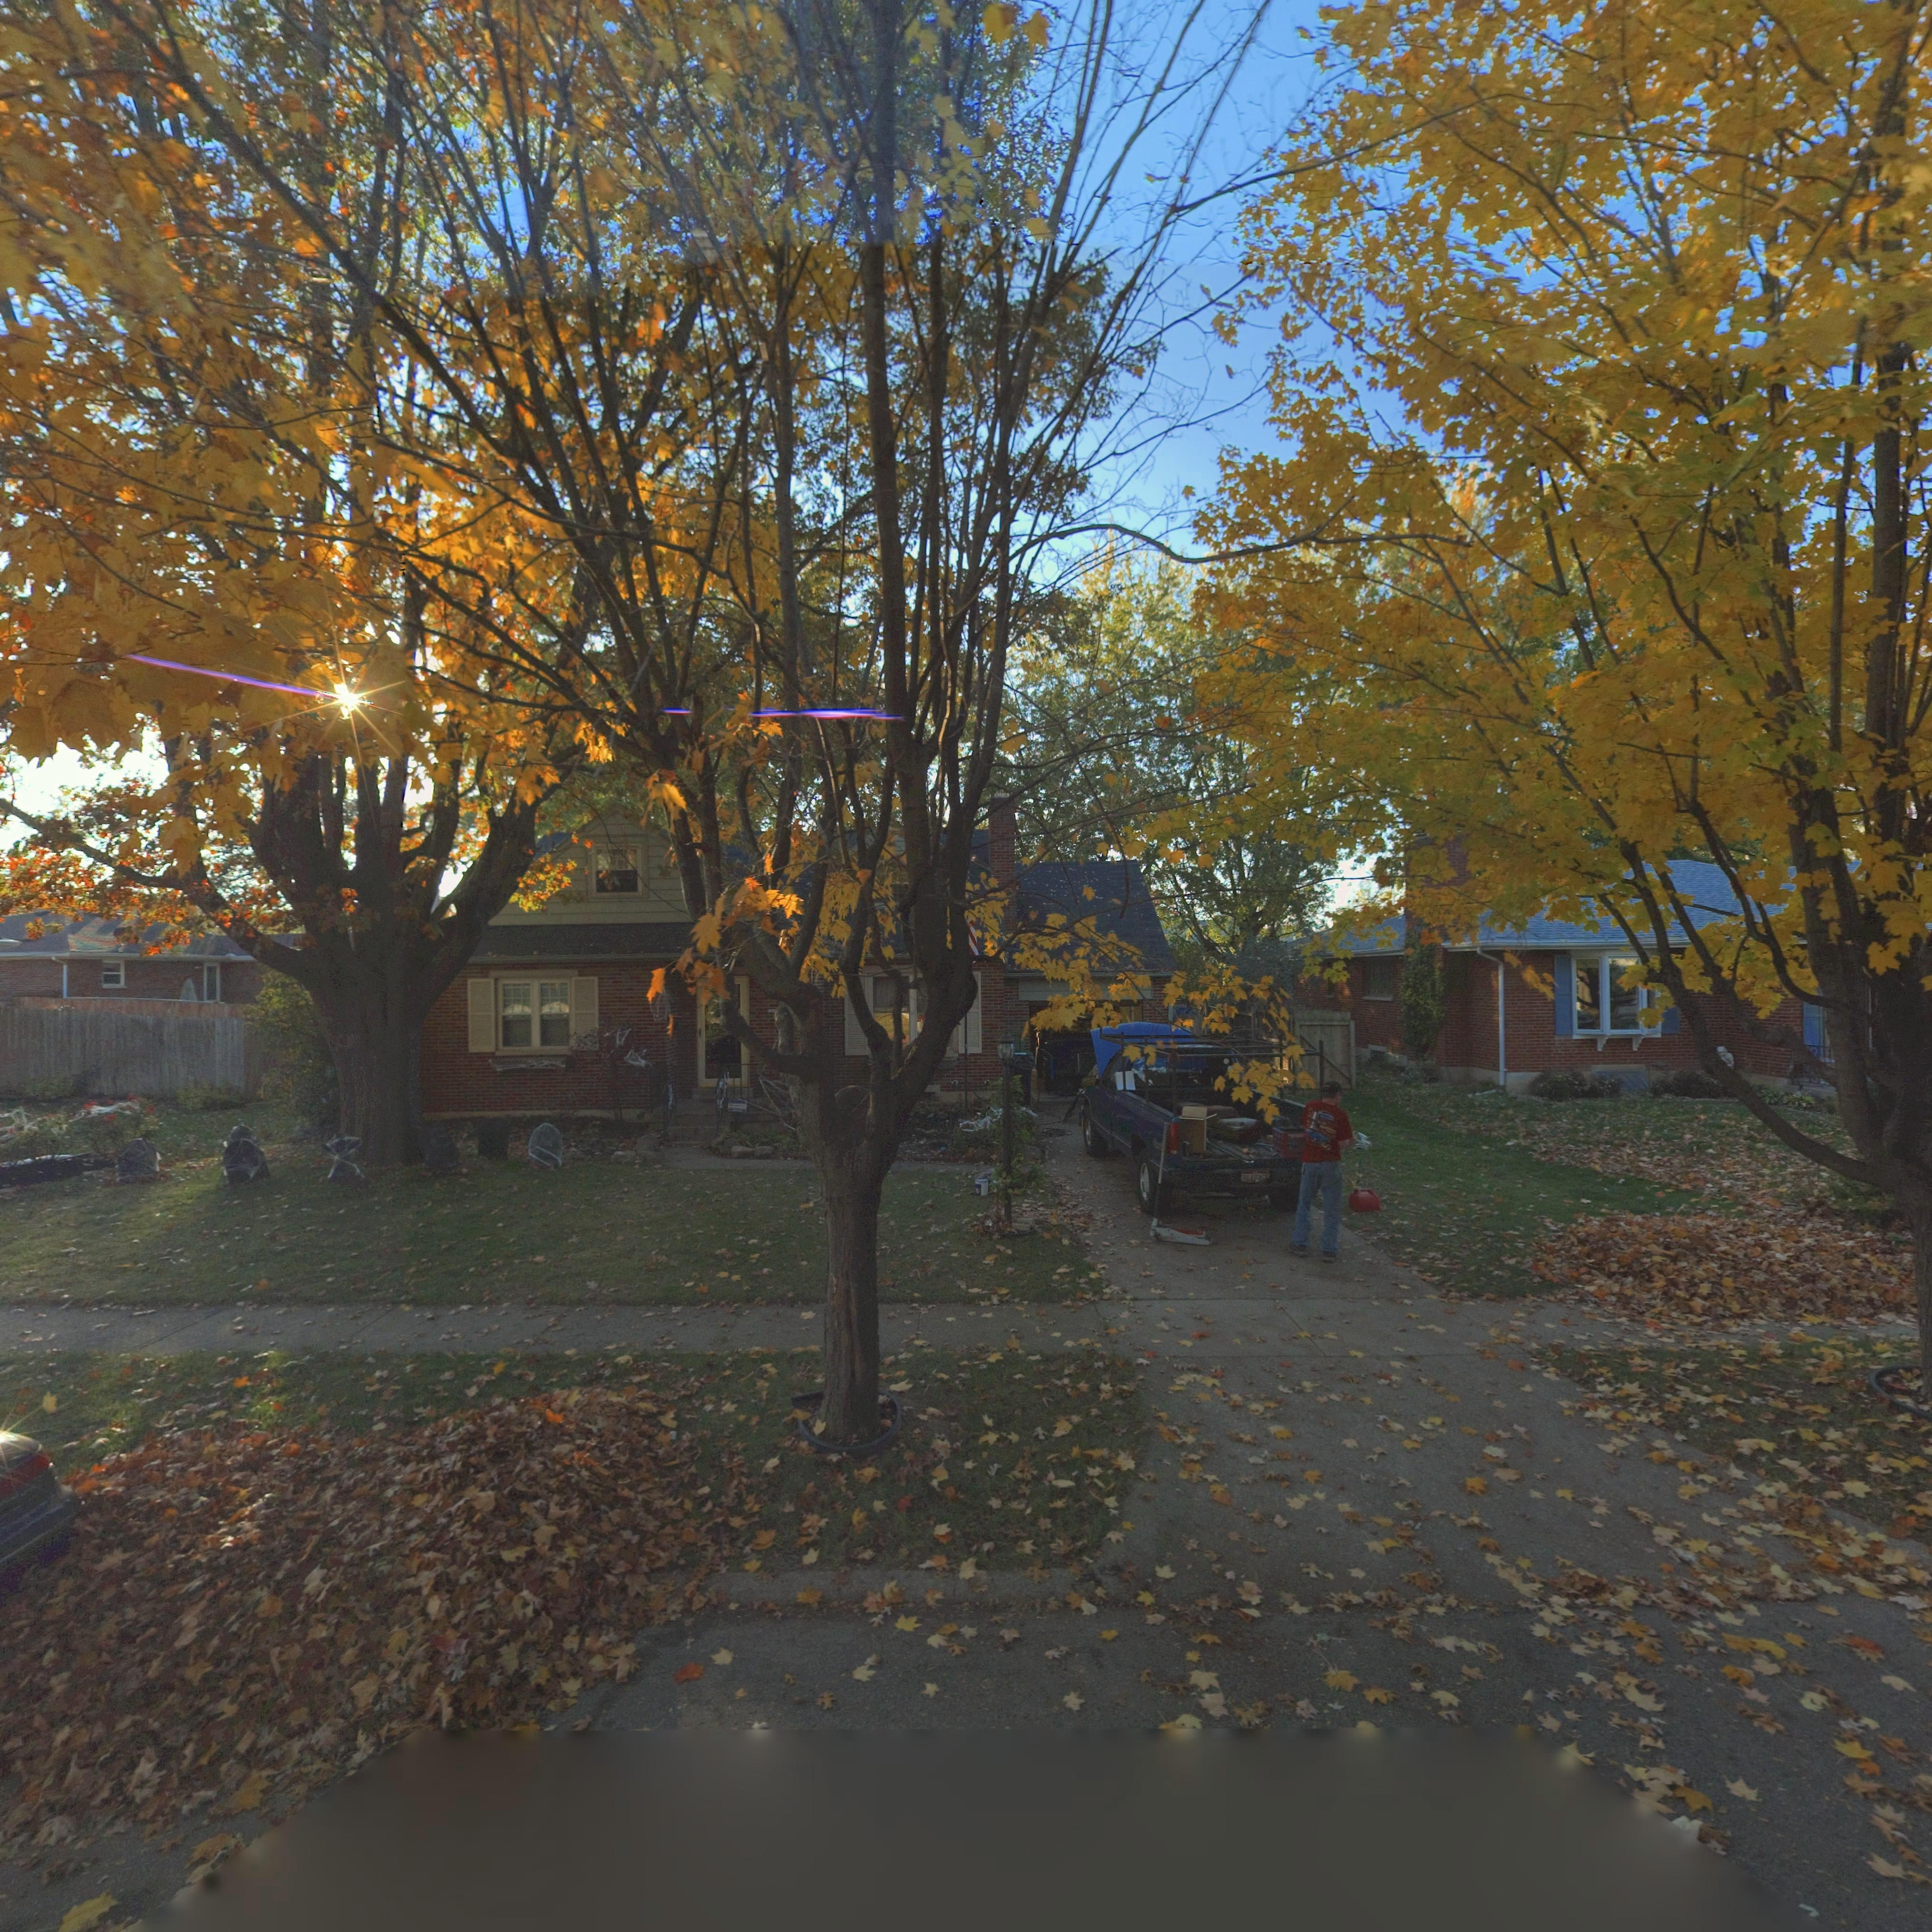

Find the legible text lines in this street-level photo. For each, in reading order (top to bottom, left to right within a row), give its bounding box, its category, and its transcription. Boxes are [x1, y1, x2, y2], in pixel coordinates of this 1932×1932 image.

[769, 1009, 773, 1013] StreetNumber: 3